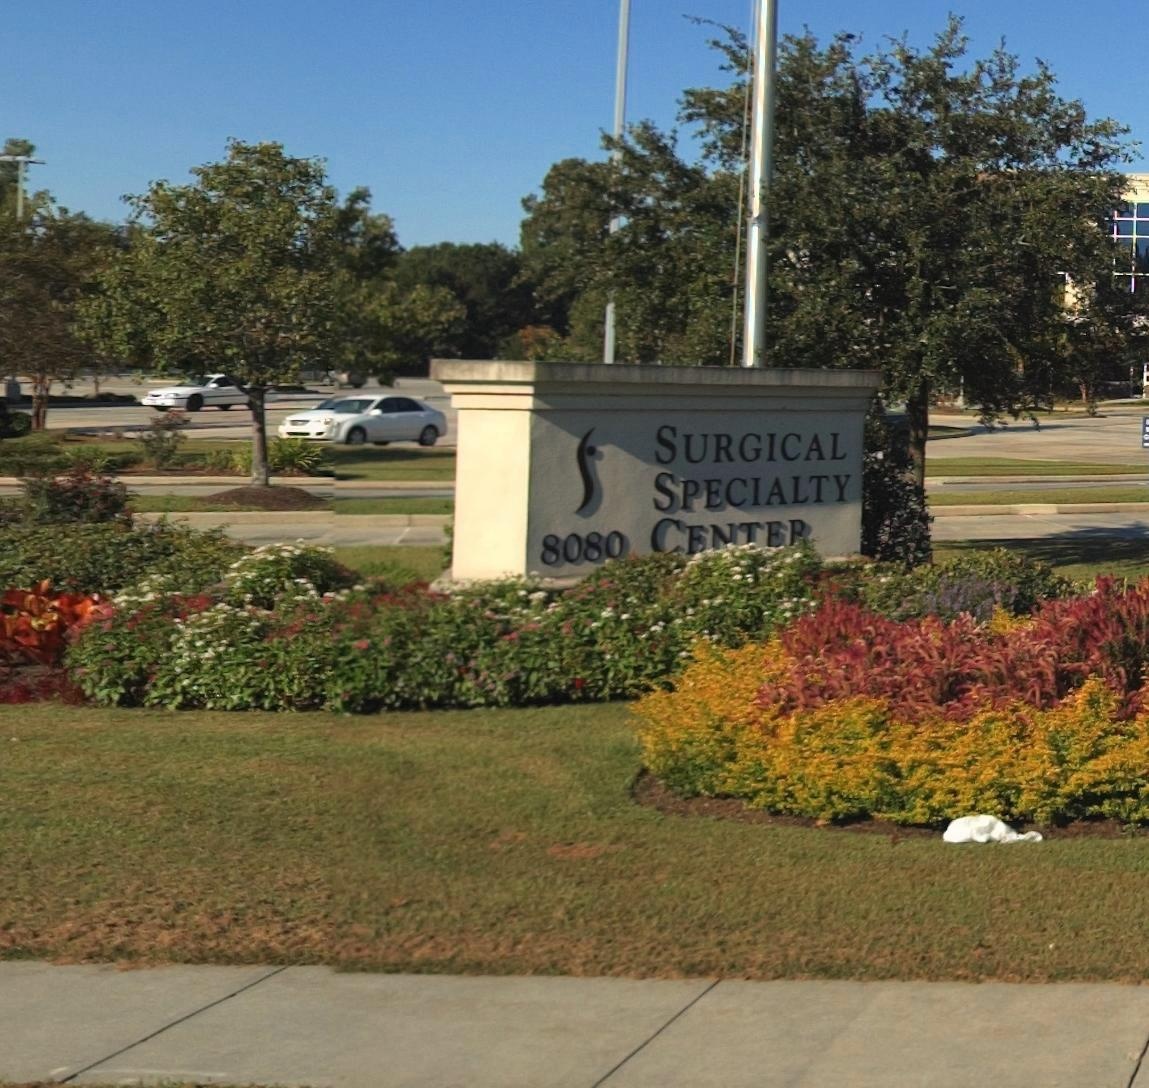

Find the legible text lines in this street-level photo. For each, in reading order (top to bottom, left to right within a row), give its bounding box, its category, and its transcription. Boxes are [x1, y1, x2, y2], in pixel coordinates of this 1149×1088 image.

[652, 424, 848, 465] BusinessName: SURGICAL
[651, 471, 852, 513] BusinessName: SPECIALTY
[541, 529, 624, 566] StreetNumber: 8080
[646, 514, 808, 560] BusinessName: CENTER